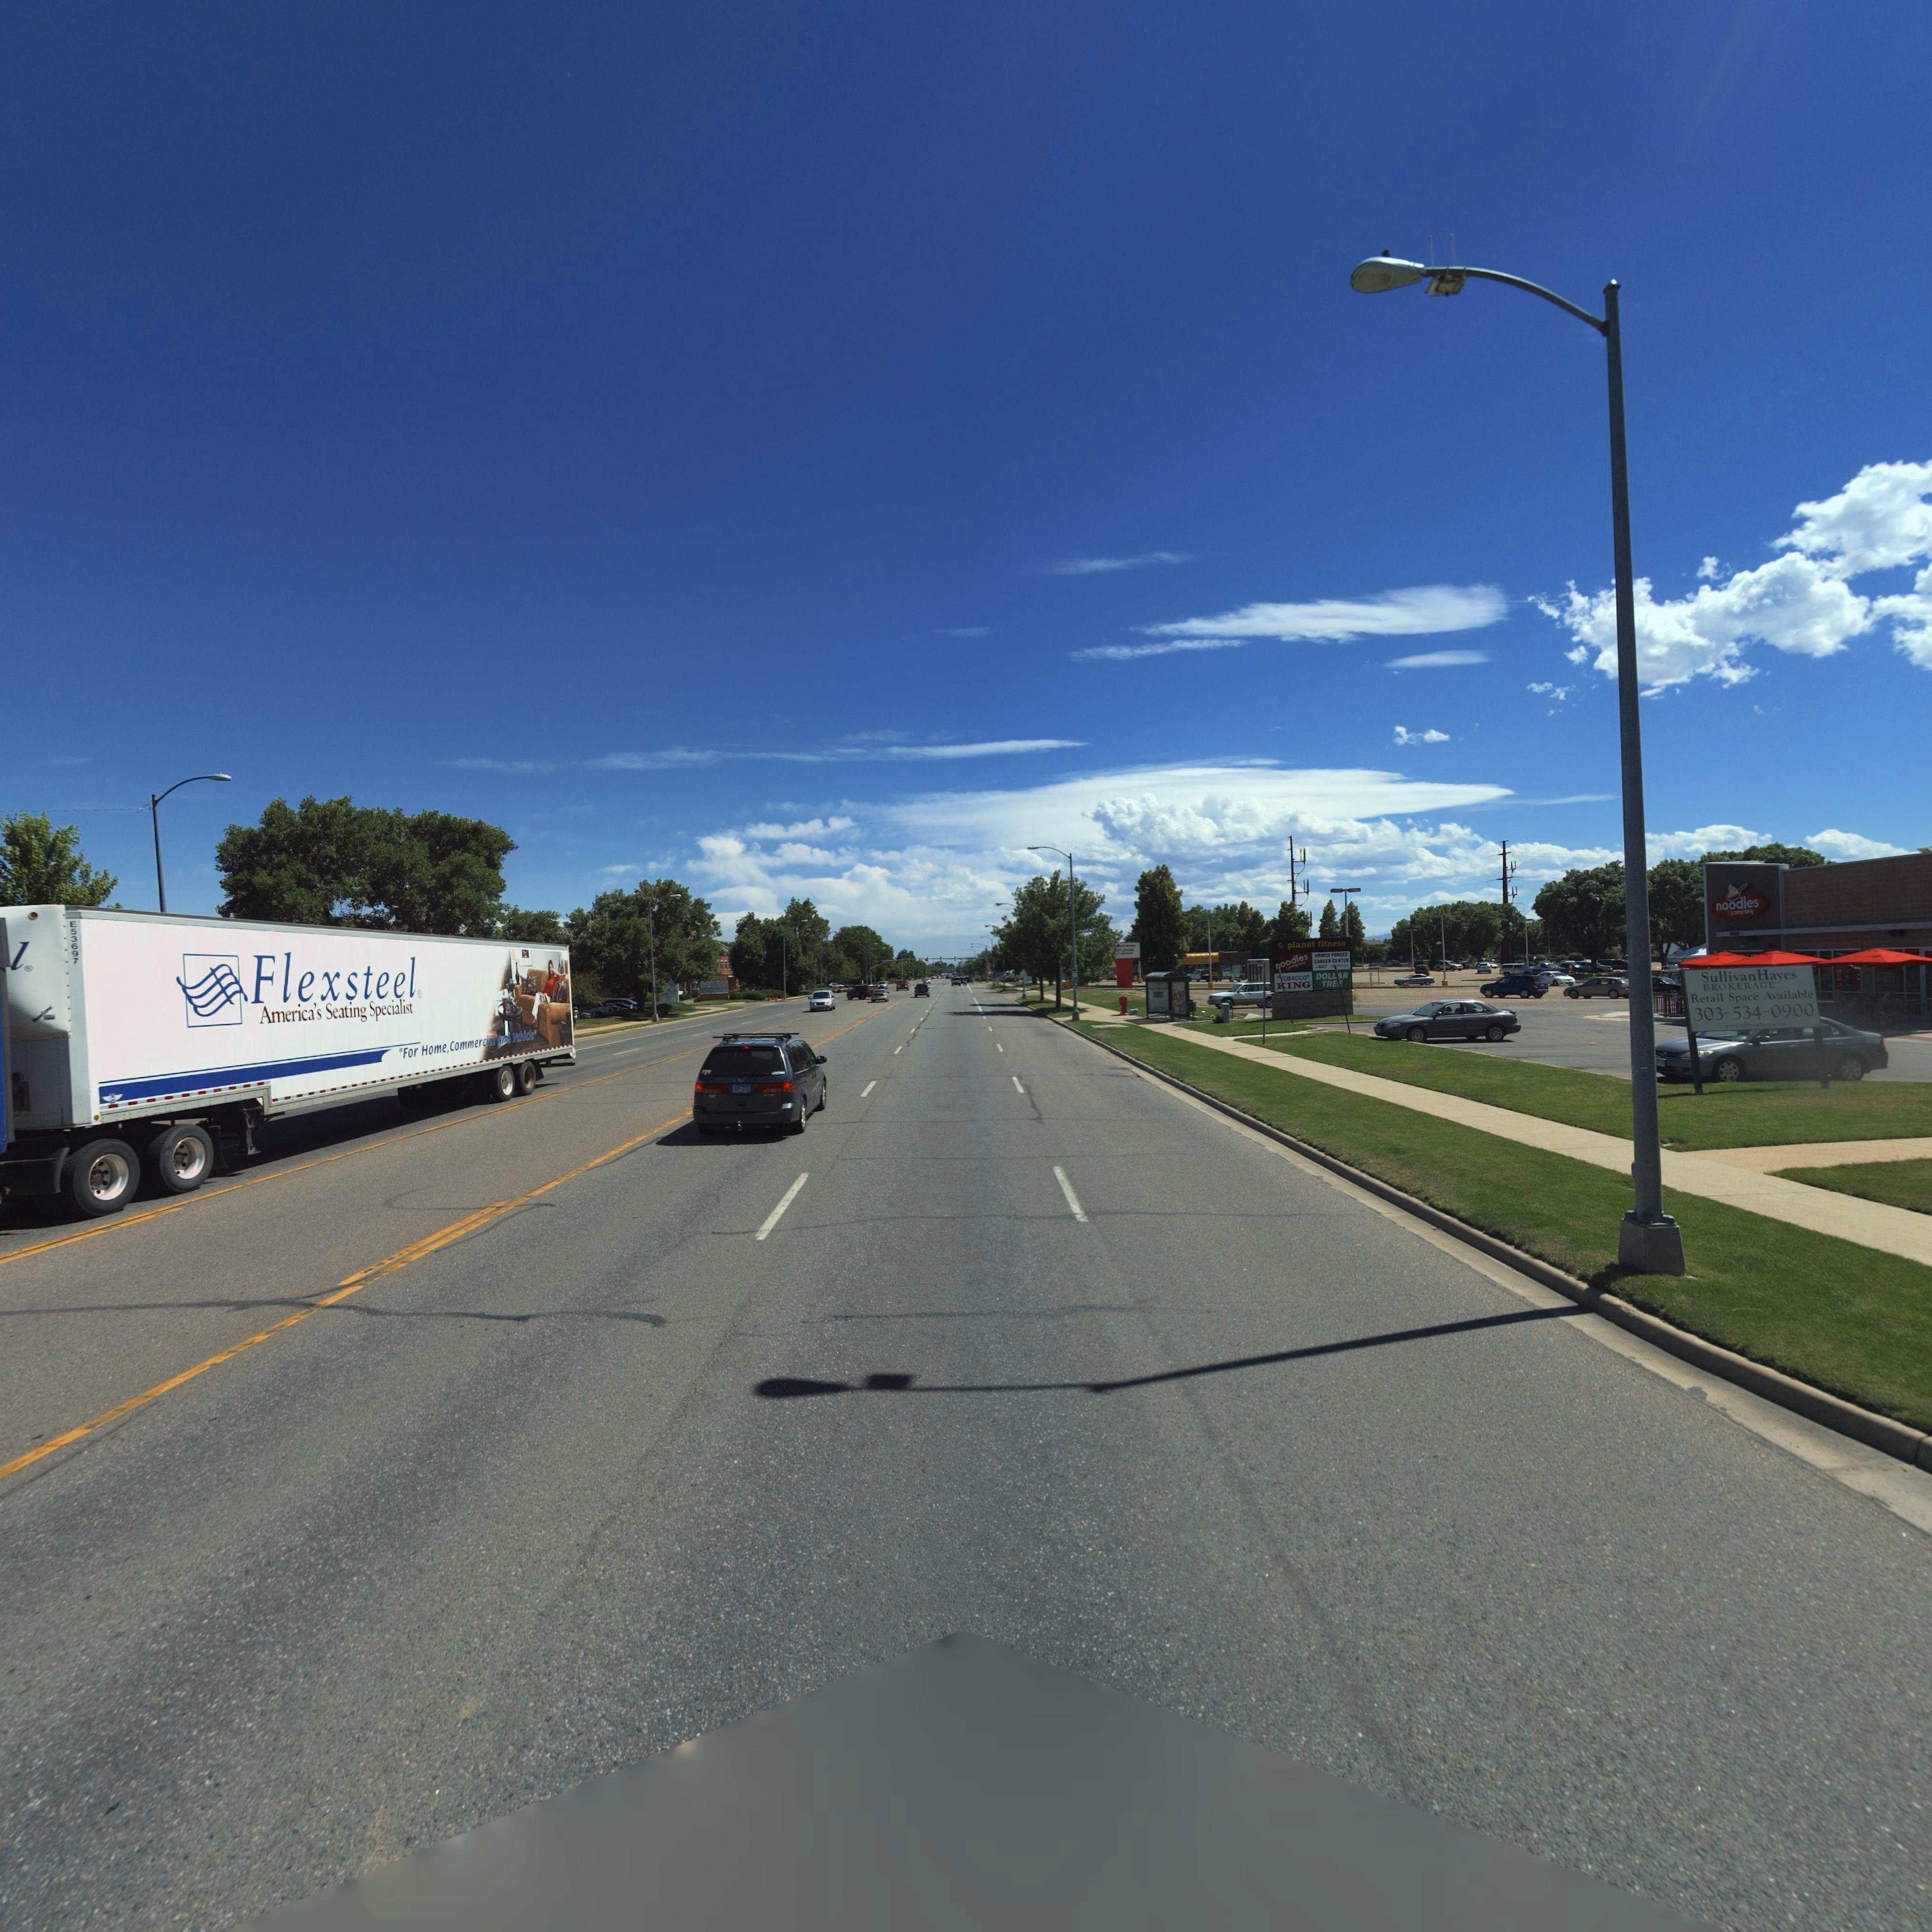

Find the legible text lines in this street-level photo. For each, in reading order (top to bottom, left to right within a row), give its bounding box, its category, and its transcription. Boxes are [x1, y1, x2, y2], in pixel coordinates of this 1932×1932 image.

[1715, 895, 1759, 911] BusinessName: noodles
[1730, 909, 1754, 916] BusinessName: co*****
[1286, 940, 1346, 950] BusinessName: planet fitness
[1314, 952, 1348, 957] BusinessName: AR*ED *ORCES
[1275, 954, 1309, 969] BusinessName: *oodles
[1314, 957, 1348, 964] BusinessName: CA*EER CENTER
[1280, 975, 1307, 981] BusinessName: *OBACCO
[1315, 972, 1348, 980] BusinessName: DOLLAR
[1276, 981, 1311, 989] BusinessName: KING
[1322, 980, 1343, 987] BusinessName: TREE